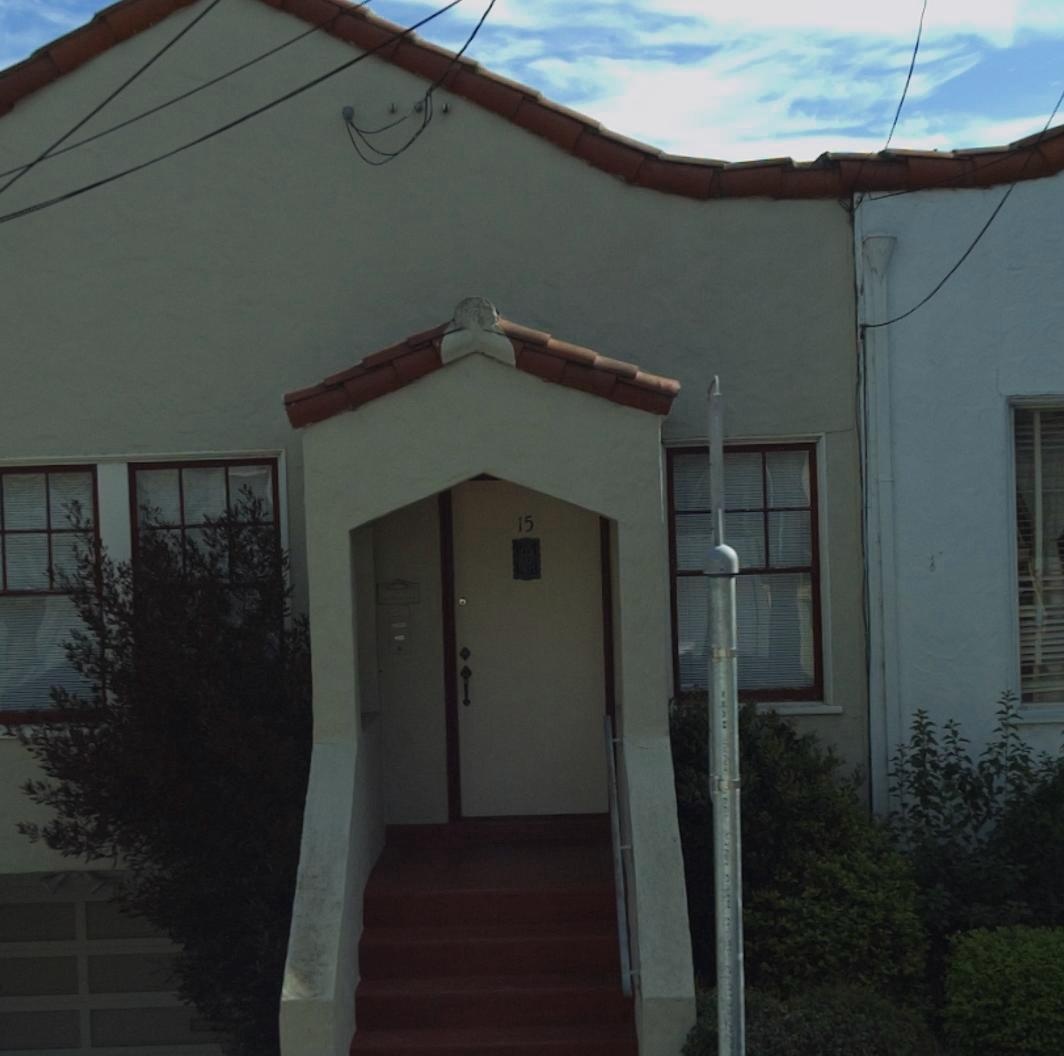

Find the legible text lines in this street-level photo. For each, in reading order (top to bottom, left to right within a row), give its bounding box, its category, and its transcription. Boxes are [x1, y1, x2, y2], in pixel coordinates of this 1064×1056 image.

[516, 513, 535, 534] StreetNumber: 15